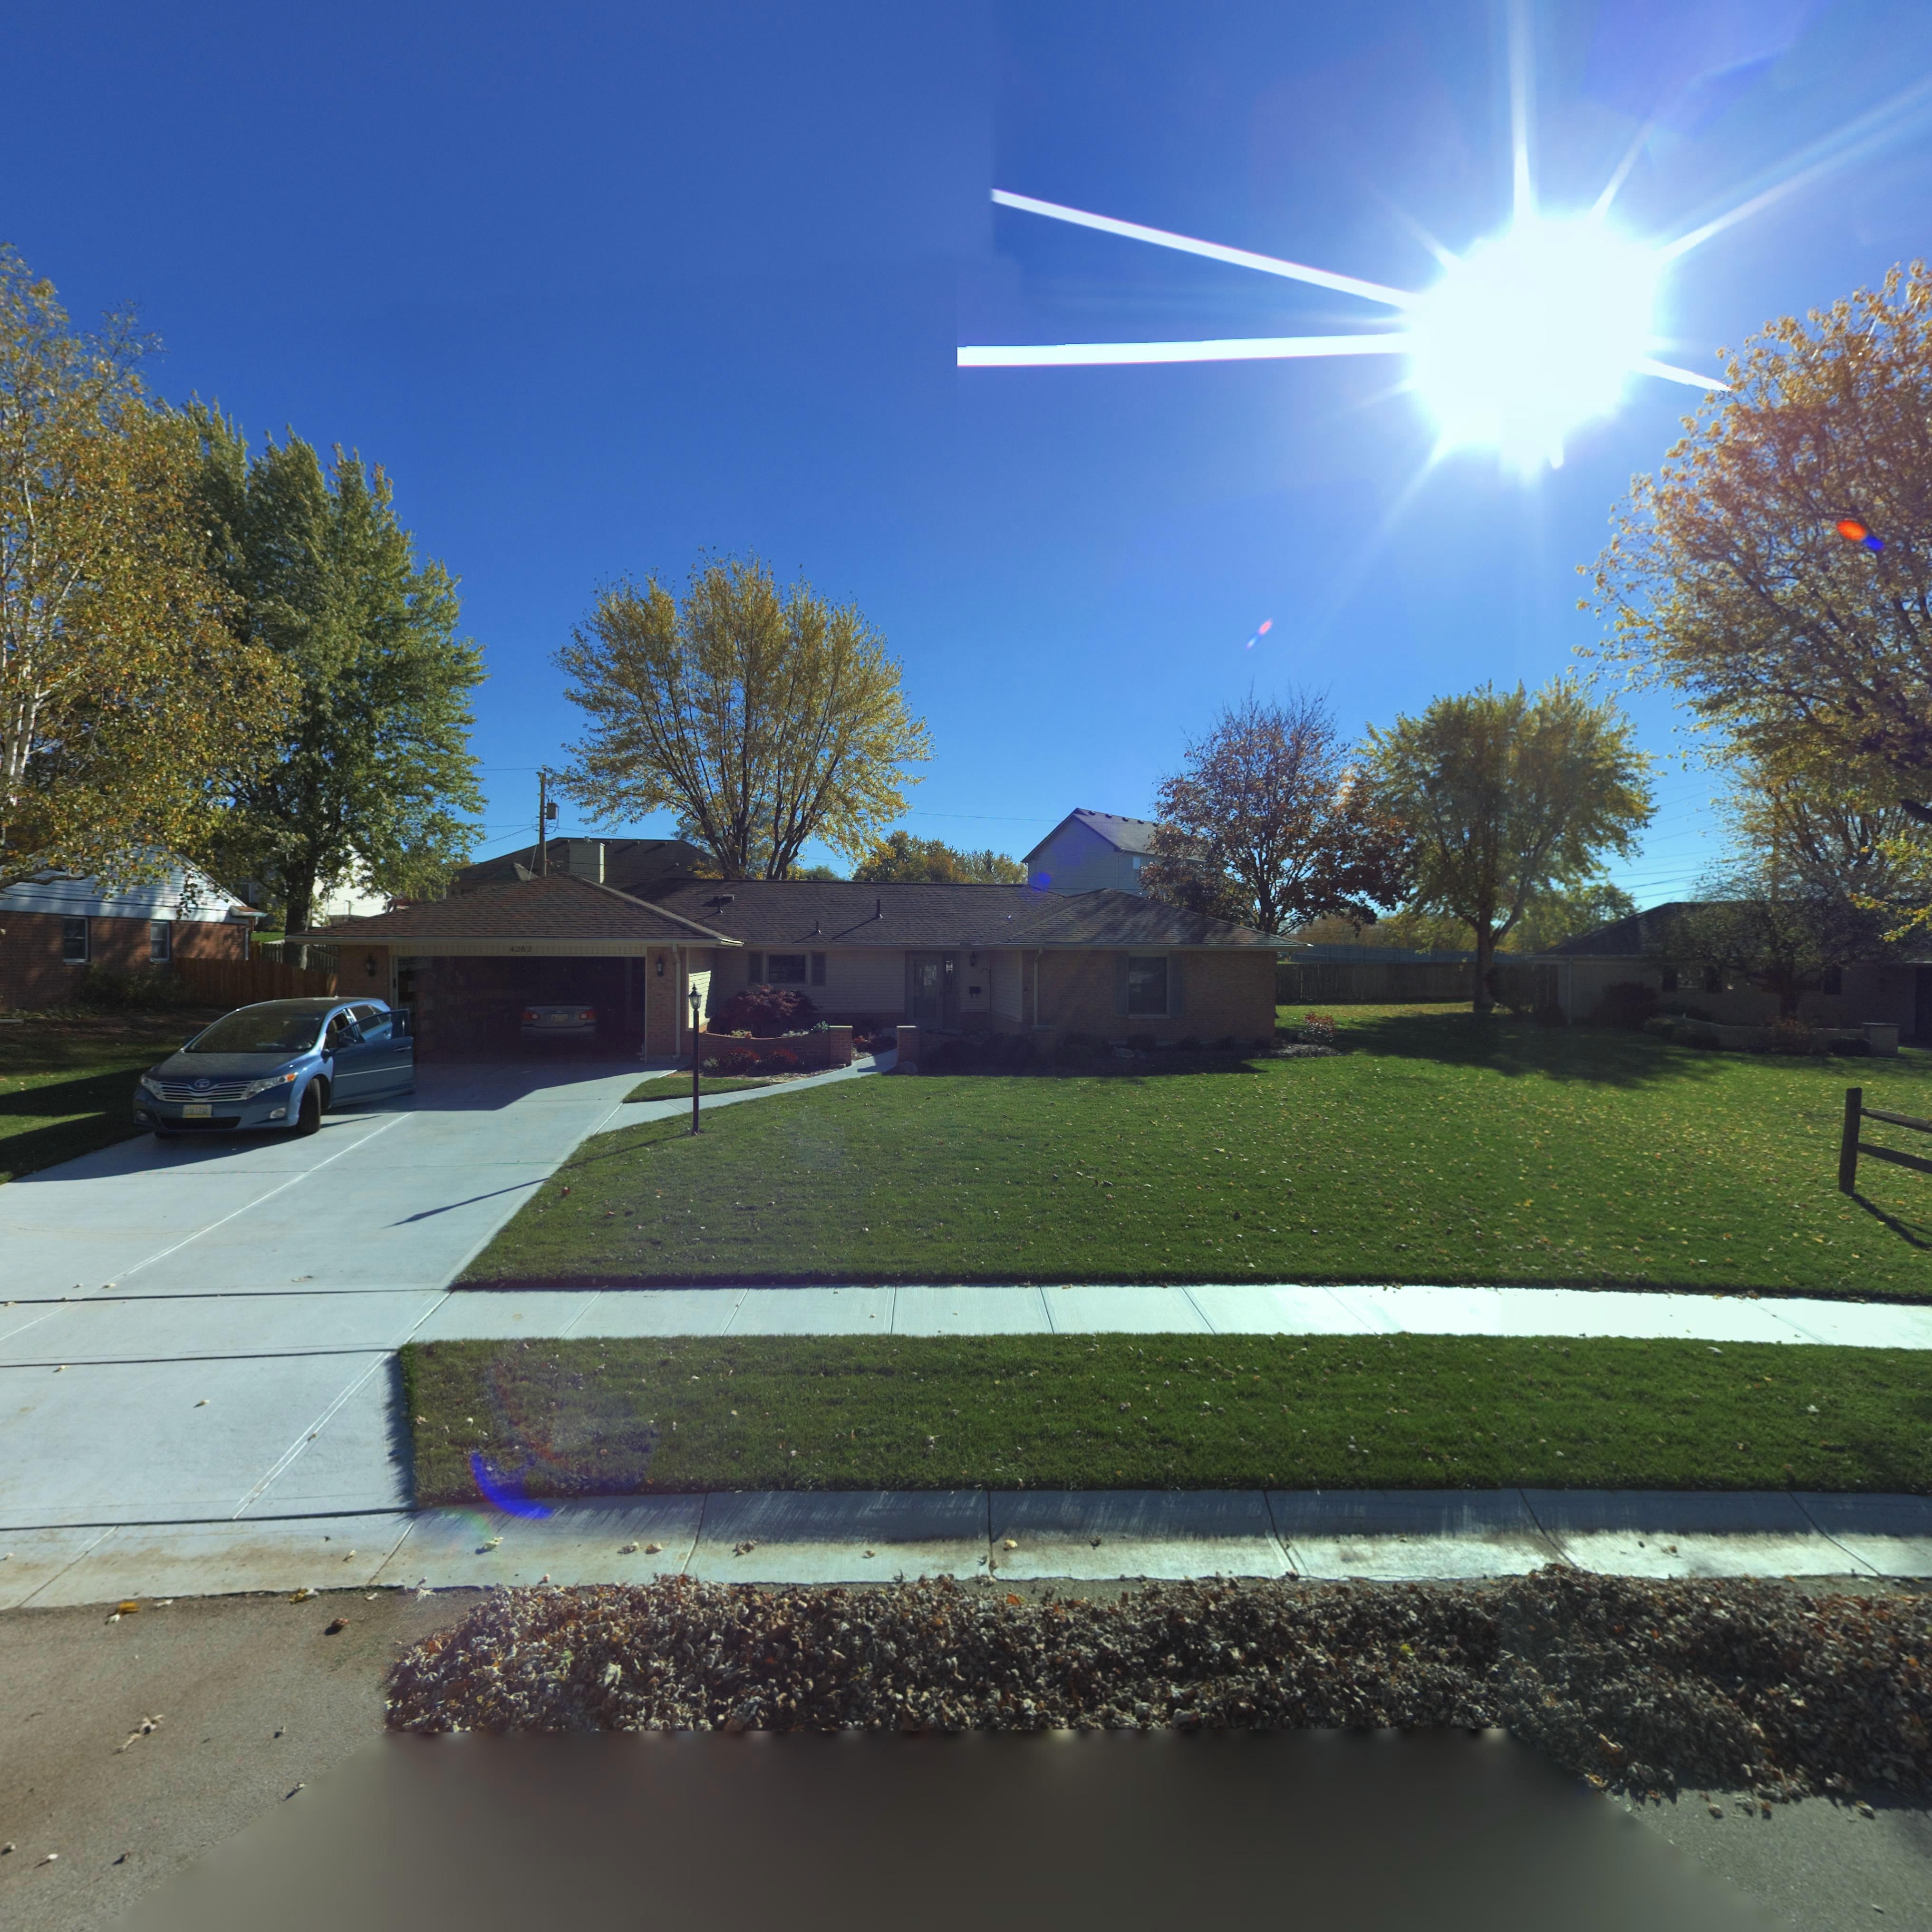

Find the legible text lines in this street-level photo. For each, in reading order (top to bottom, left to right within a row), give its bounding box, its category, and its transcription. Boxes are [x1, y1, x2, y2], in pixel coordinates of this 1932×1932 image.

[509, 944, 532, 954] StreetNumber: 4262
[185, 1108, 210, 1116] None: COLLEGE